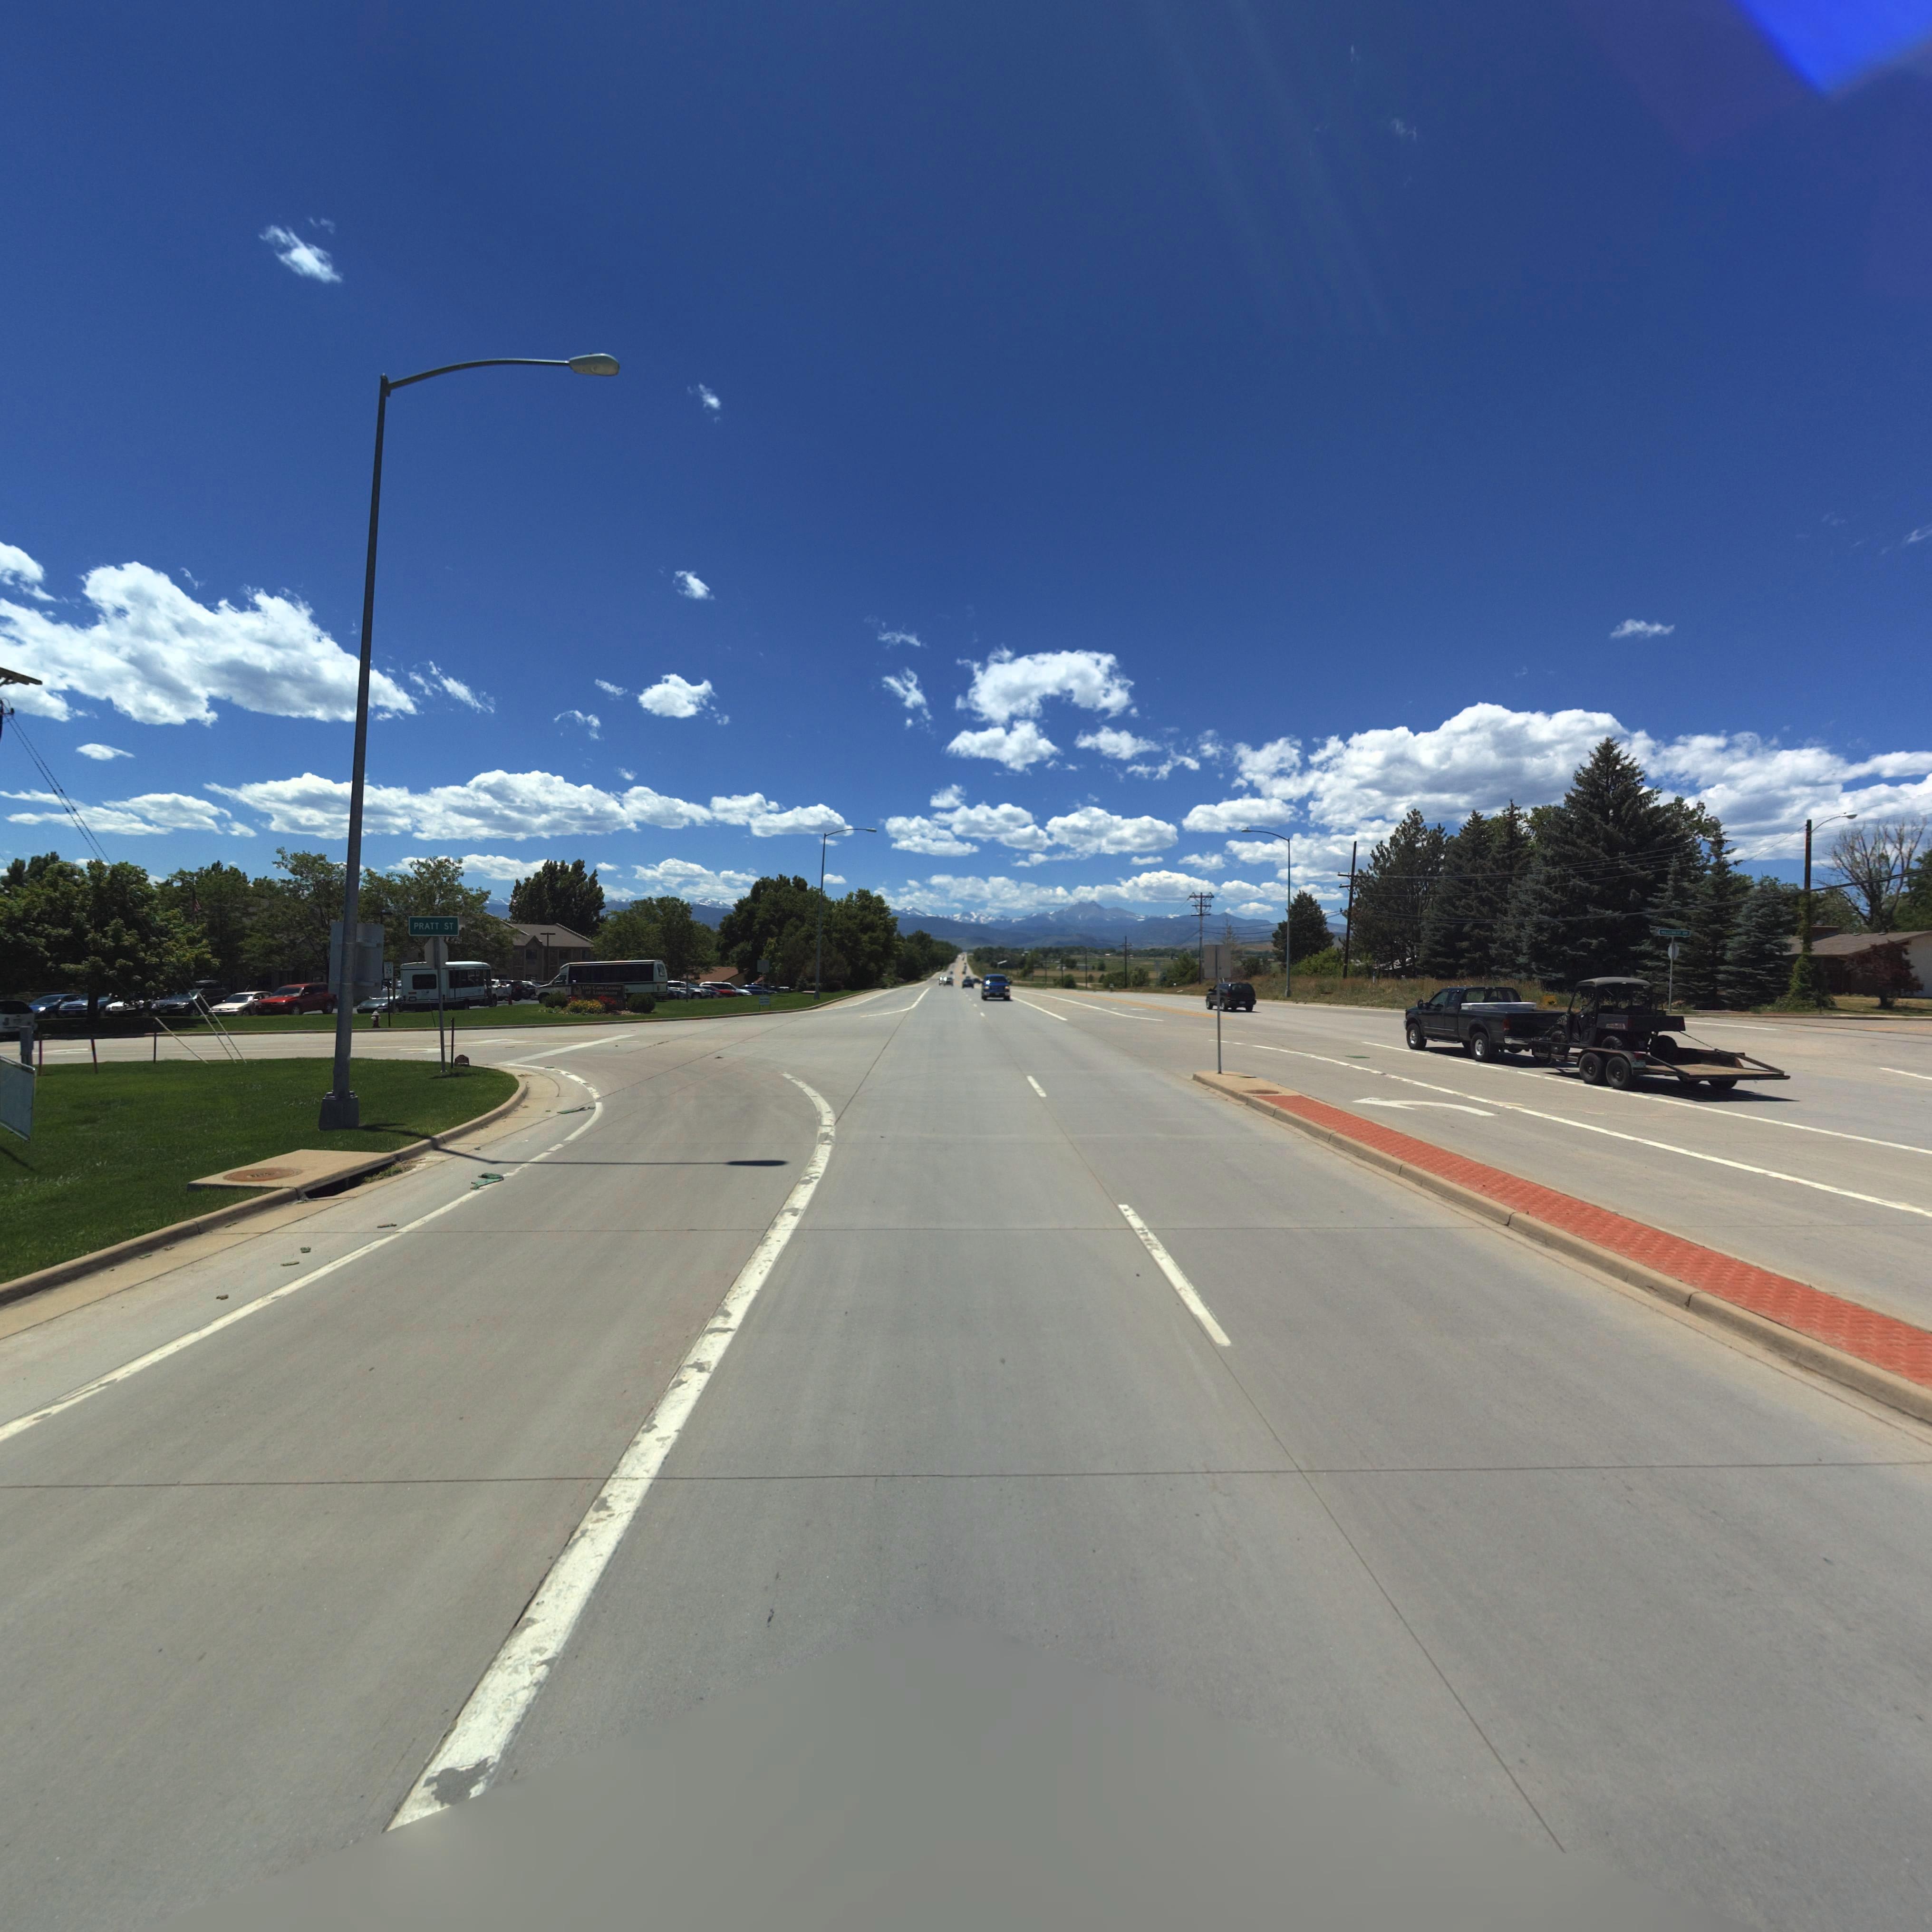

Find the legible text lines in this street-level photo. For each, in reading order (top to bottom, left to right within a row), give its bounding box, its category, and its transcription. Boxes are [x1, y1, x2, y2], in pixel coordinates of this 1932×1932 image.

[414, 922, 454, 930] StreetName: PRATT ST
[1661, 930, 1688, 935] StreetName: HILLCREST DR
[582, 985, 621, 991] BusinessName: Life Care Center
[585, 990, 618, 996] BusinessName: of Longmont